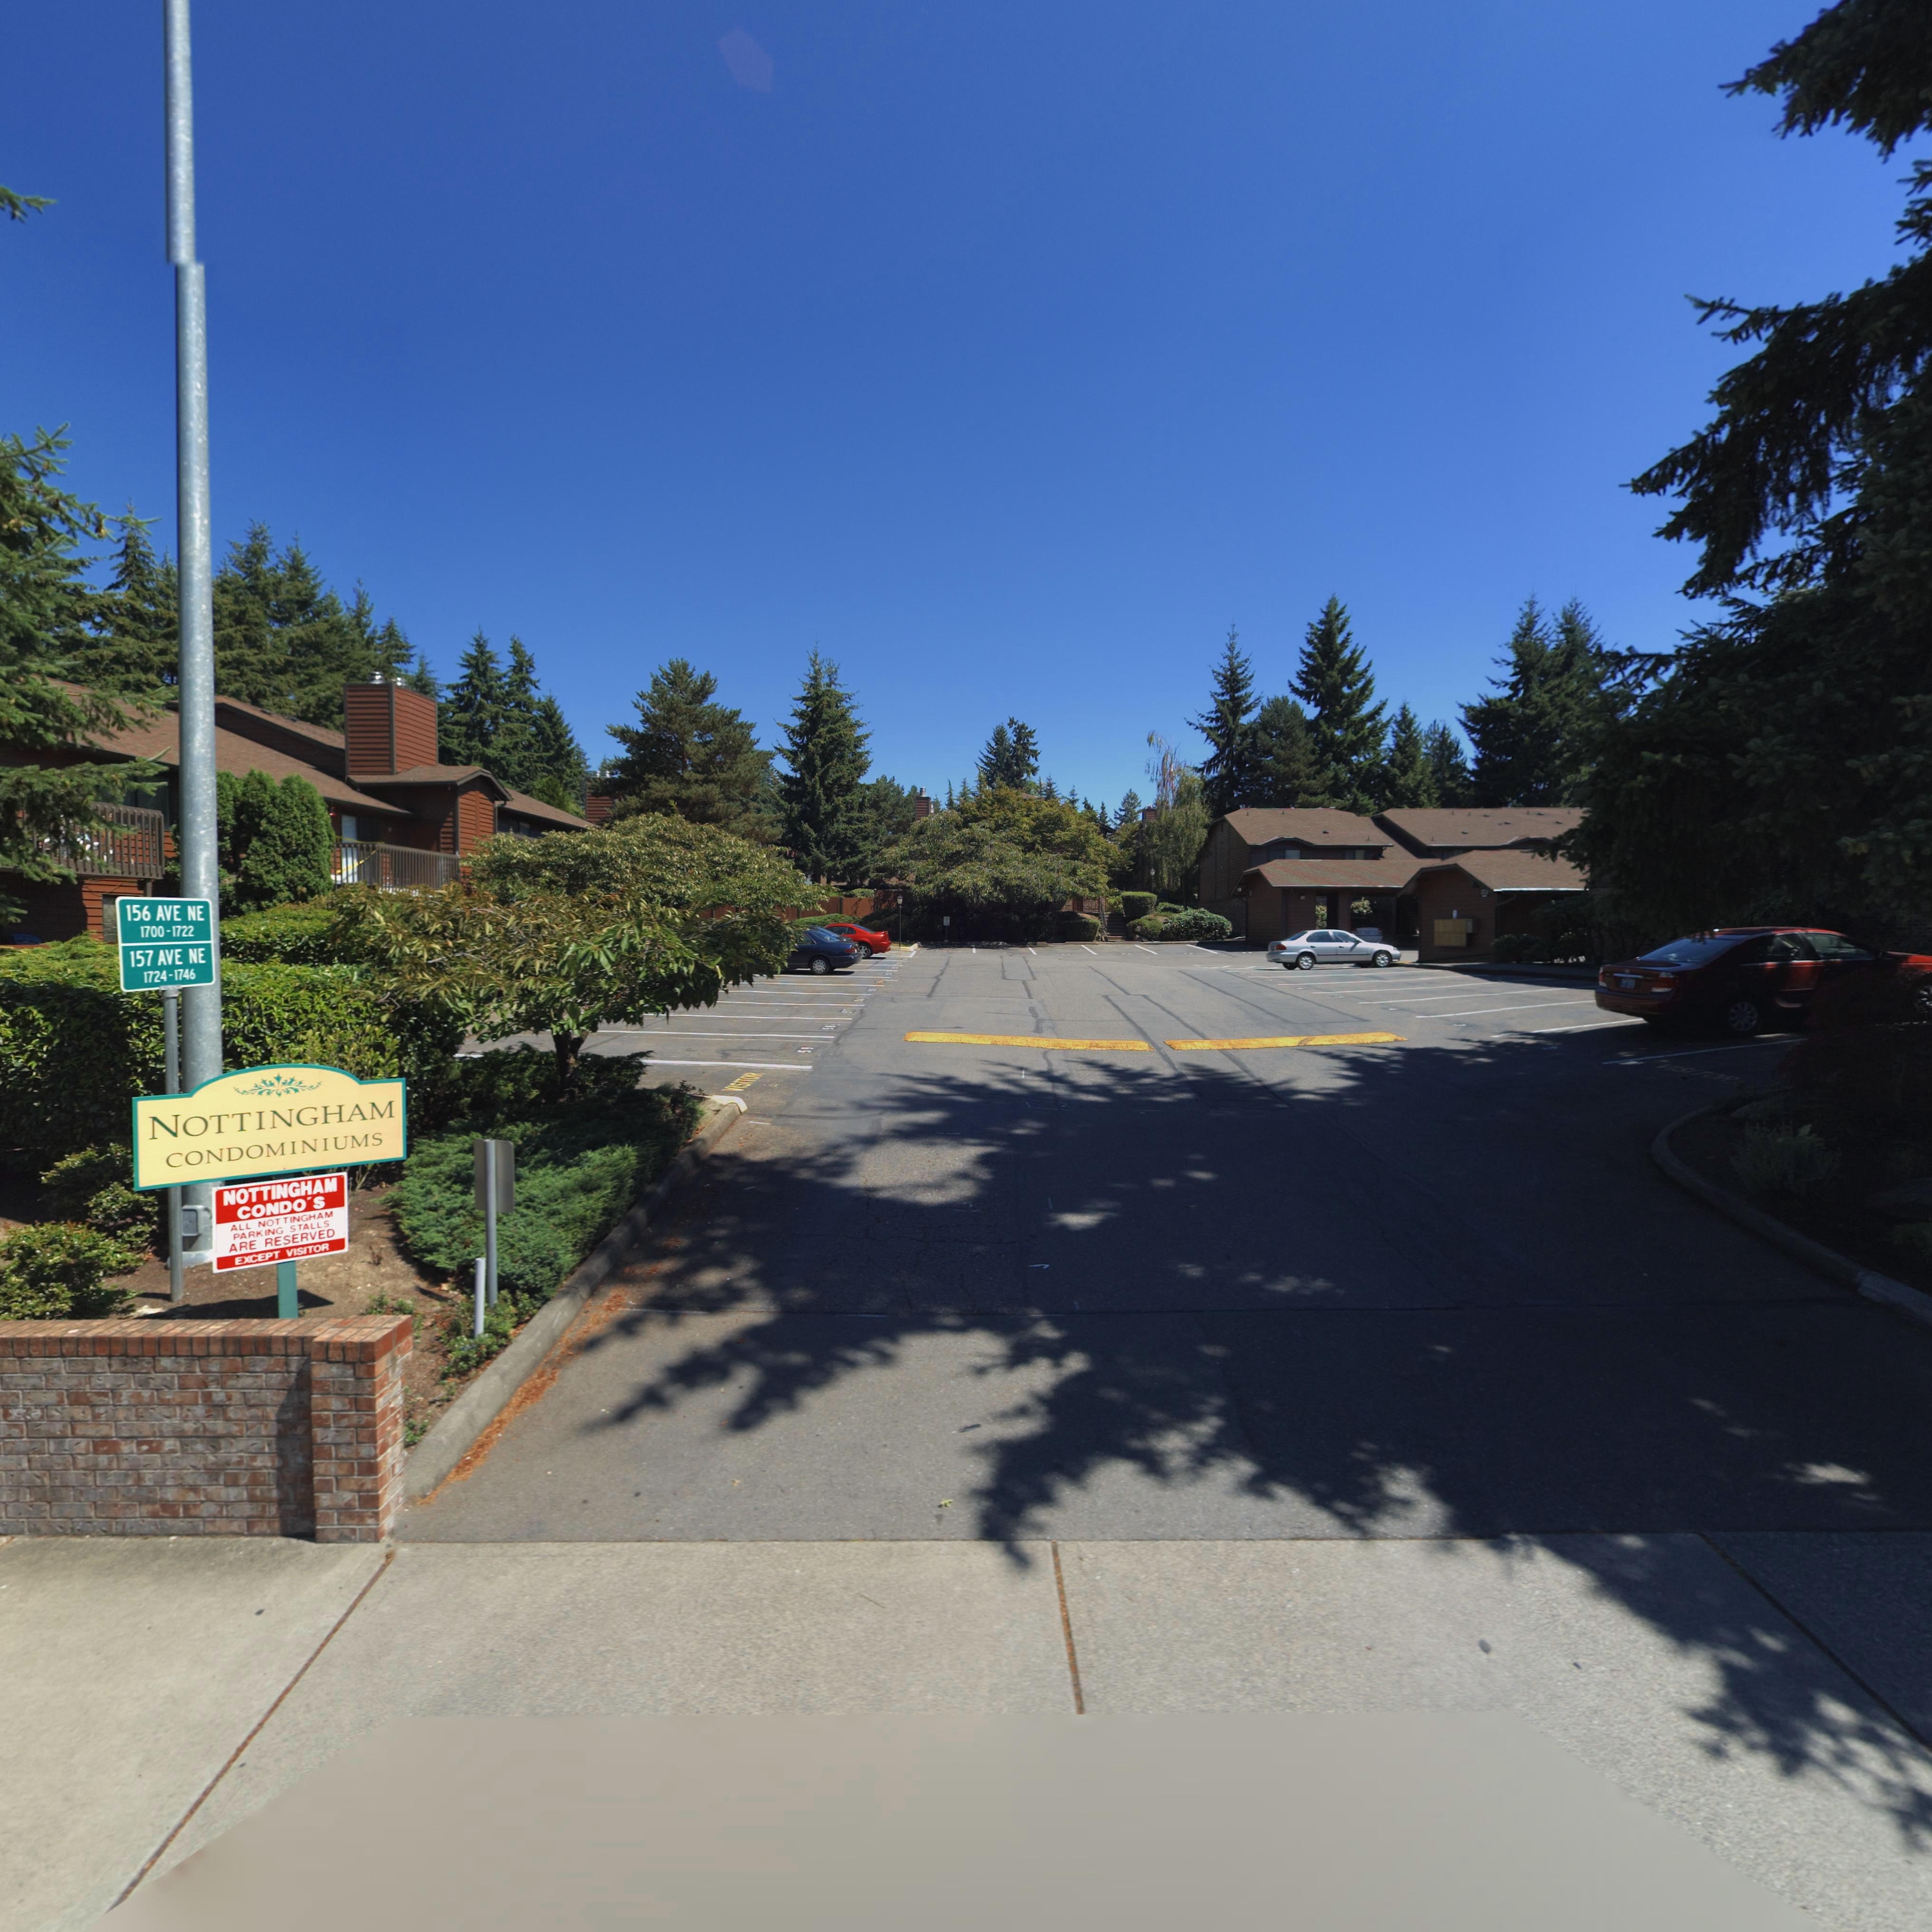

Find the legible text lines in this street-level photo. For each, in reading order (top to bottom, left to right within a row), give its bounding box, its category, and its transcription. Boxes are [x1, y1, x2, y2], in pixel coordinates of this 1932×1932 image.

[123, 903, 207, 922] StreetName: 156 AVE NE
[137, 922, 198, 940] StreetNumberRange: 1700-1722
[127, 946, 209, 969] StreetNumber: 157 AVE NE
[140, 967, 198, 985] StreetNumberRange: 1724-1746